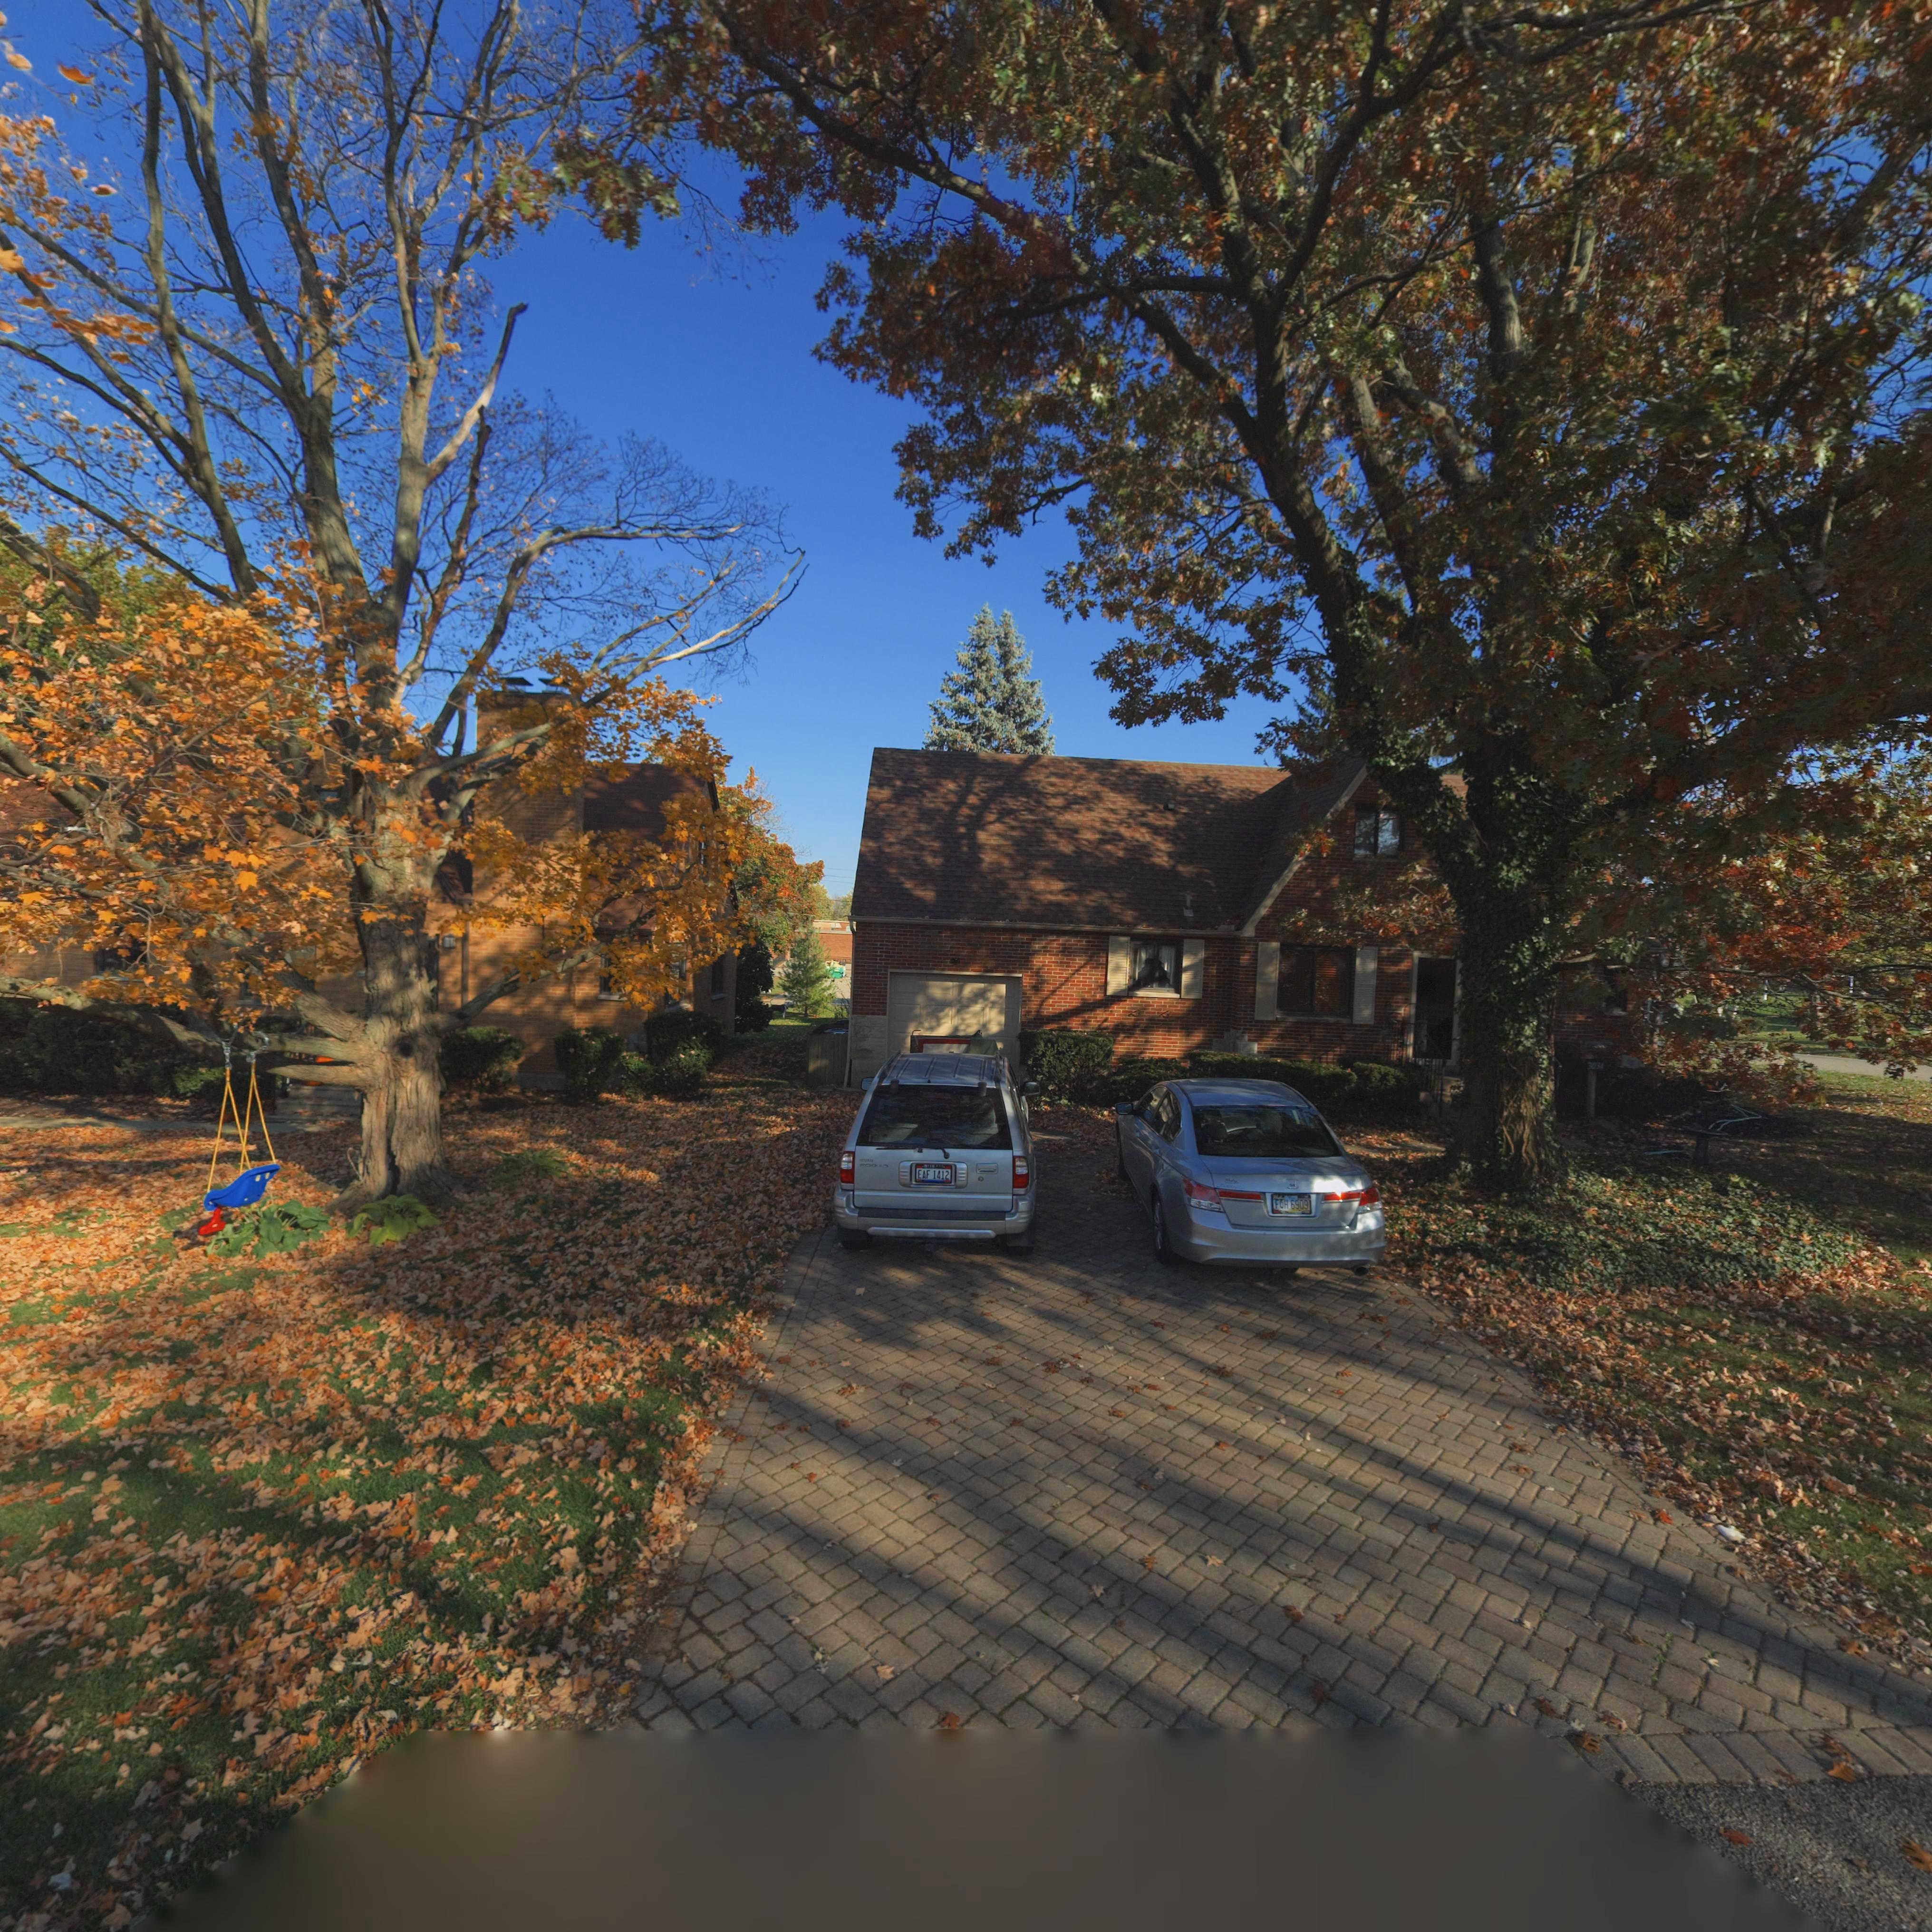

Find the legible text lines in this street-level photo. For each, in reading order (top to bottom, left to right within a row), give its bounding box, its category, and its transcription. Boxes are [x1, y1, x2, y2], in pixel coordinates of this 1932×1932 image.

[1587, 1062, 1605, 1070] StreetNumber: 3034